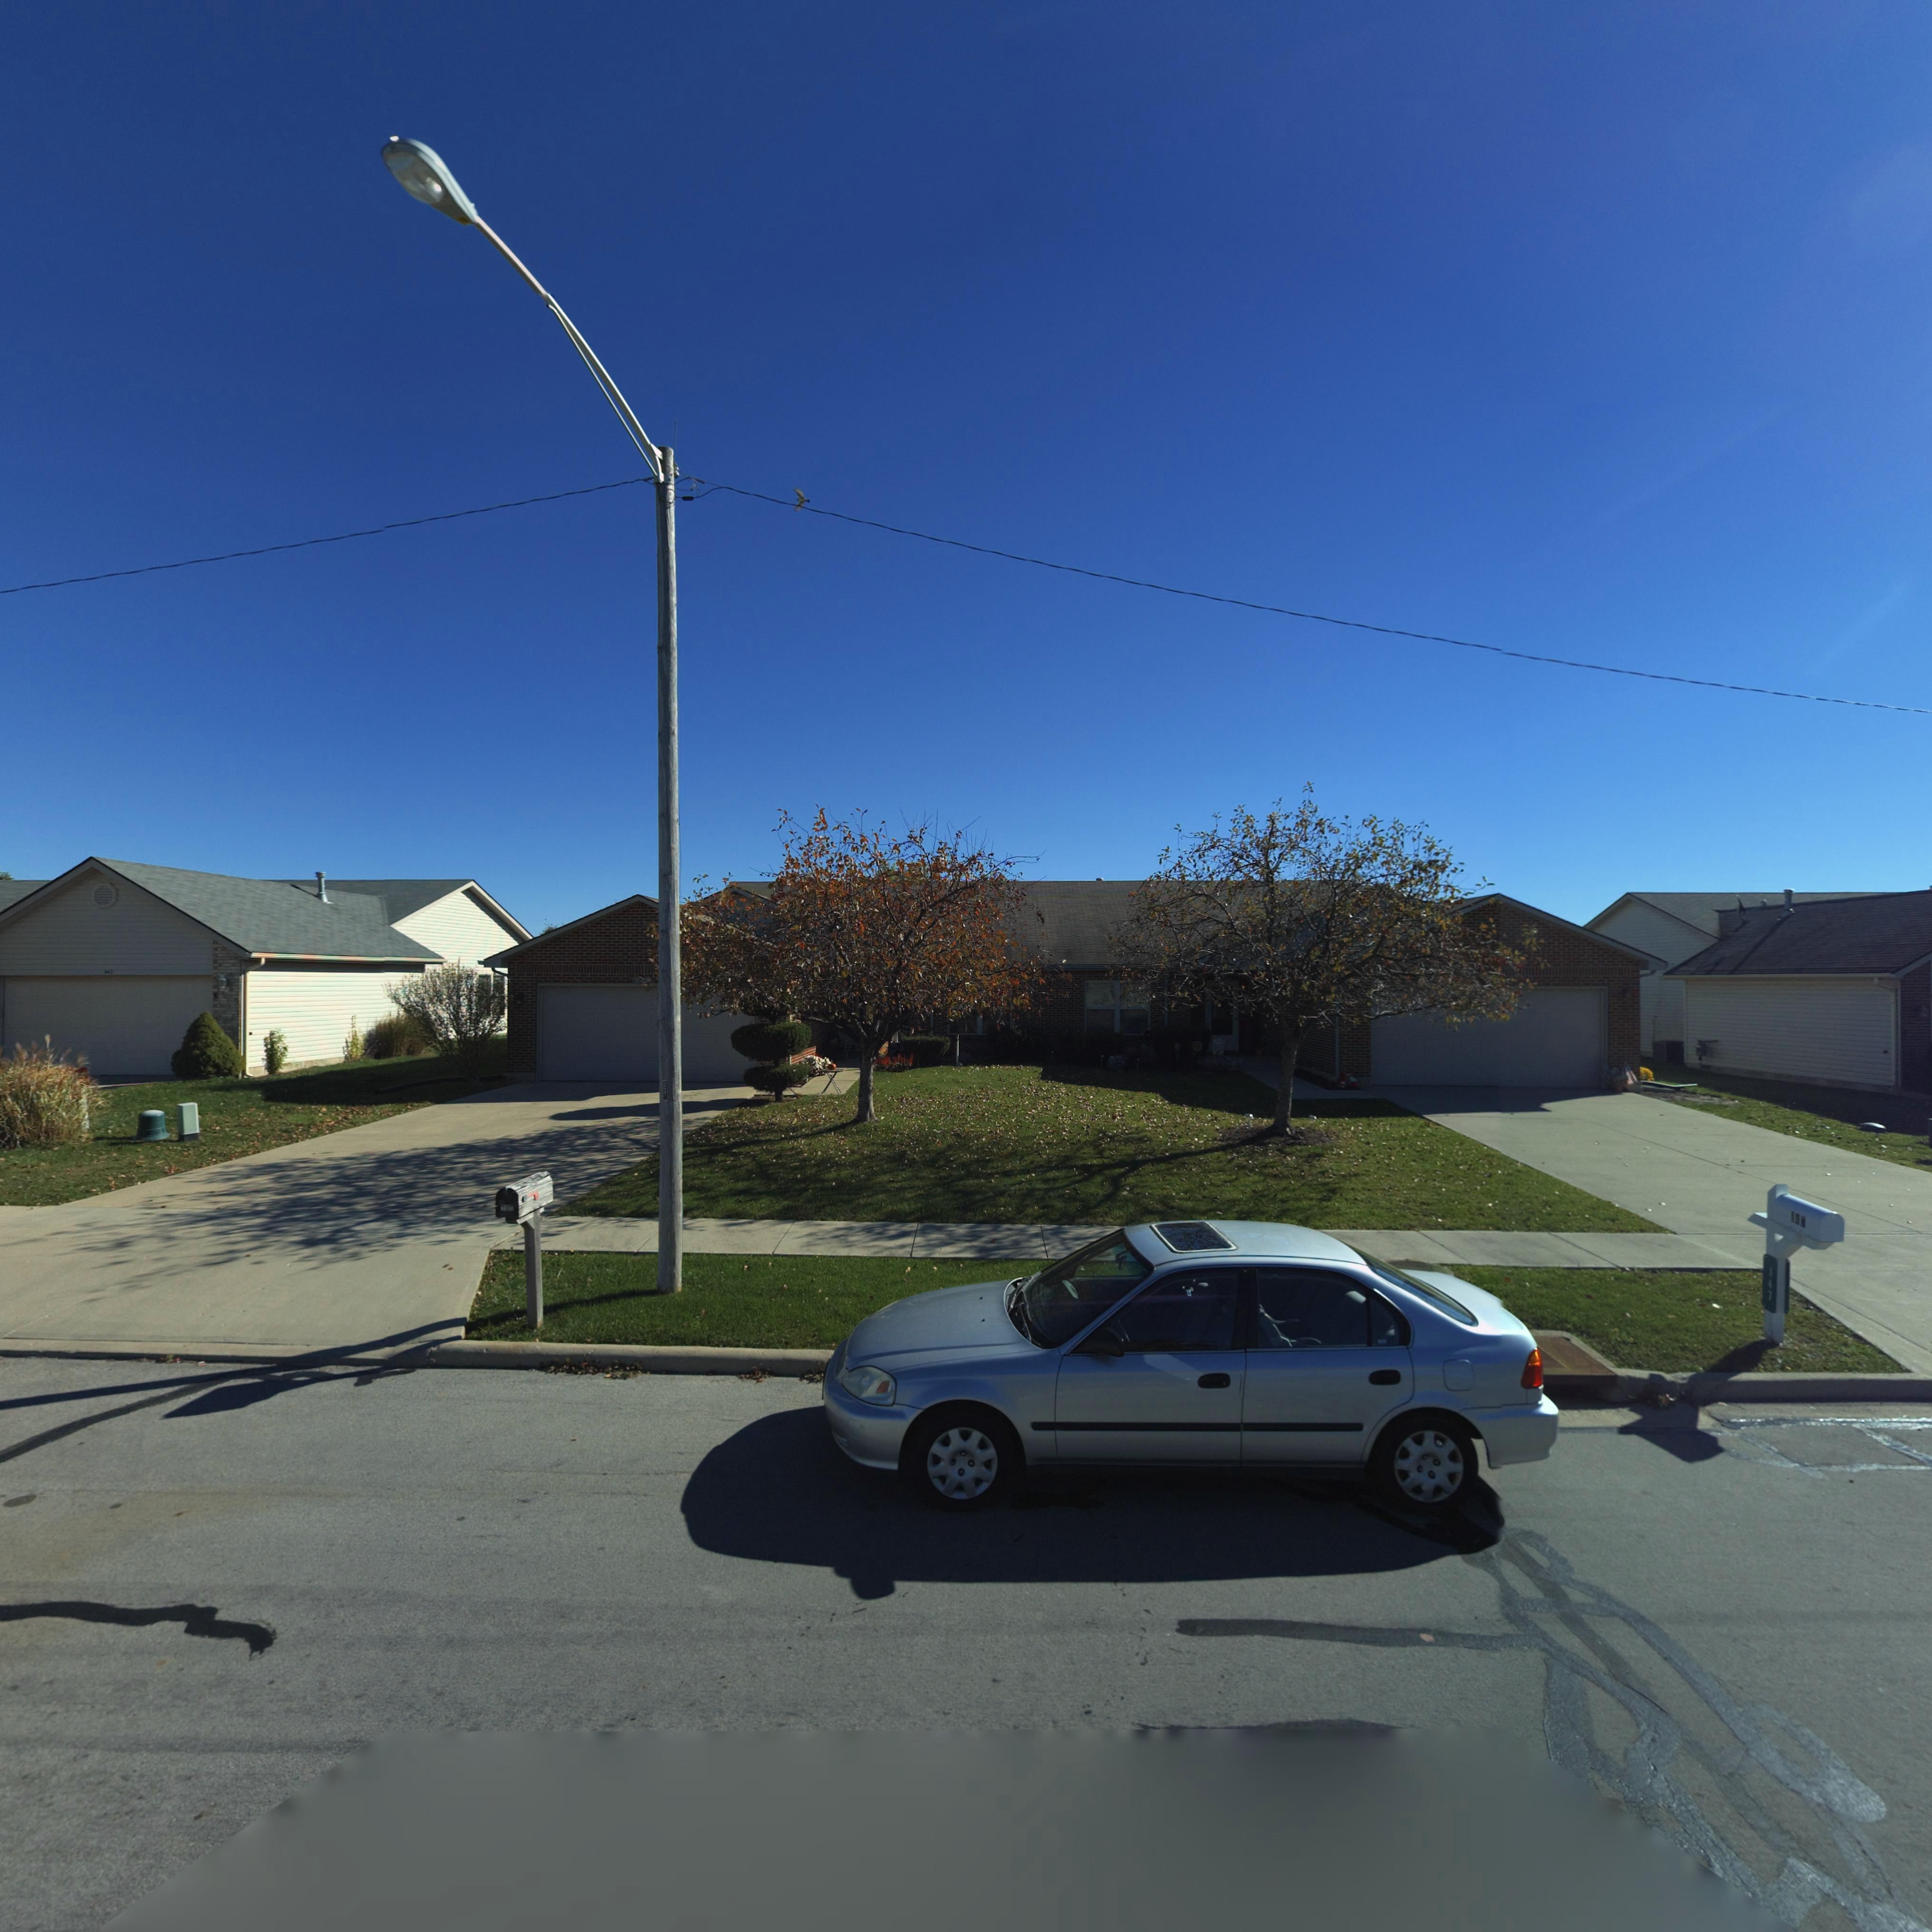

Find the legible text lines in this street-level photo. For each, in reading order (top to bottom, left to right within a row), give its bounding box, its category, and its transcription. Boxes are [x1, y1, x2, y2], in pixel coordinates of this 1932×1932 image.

[103, 969, 114, 975] StreetNumber: 14*
[500, 1205, 514, 1212] StreetNumber: 1*5
[1790, 1210, 1806, 1229] StreetNumber: *47
[1766, 1265, 1774, 1302] StreetNumber: 147